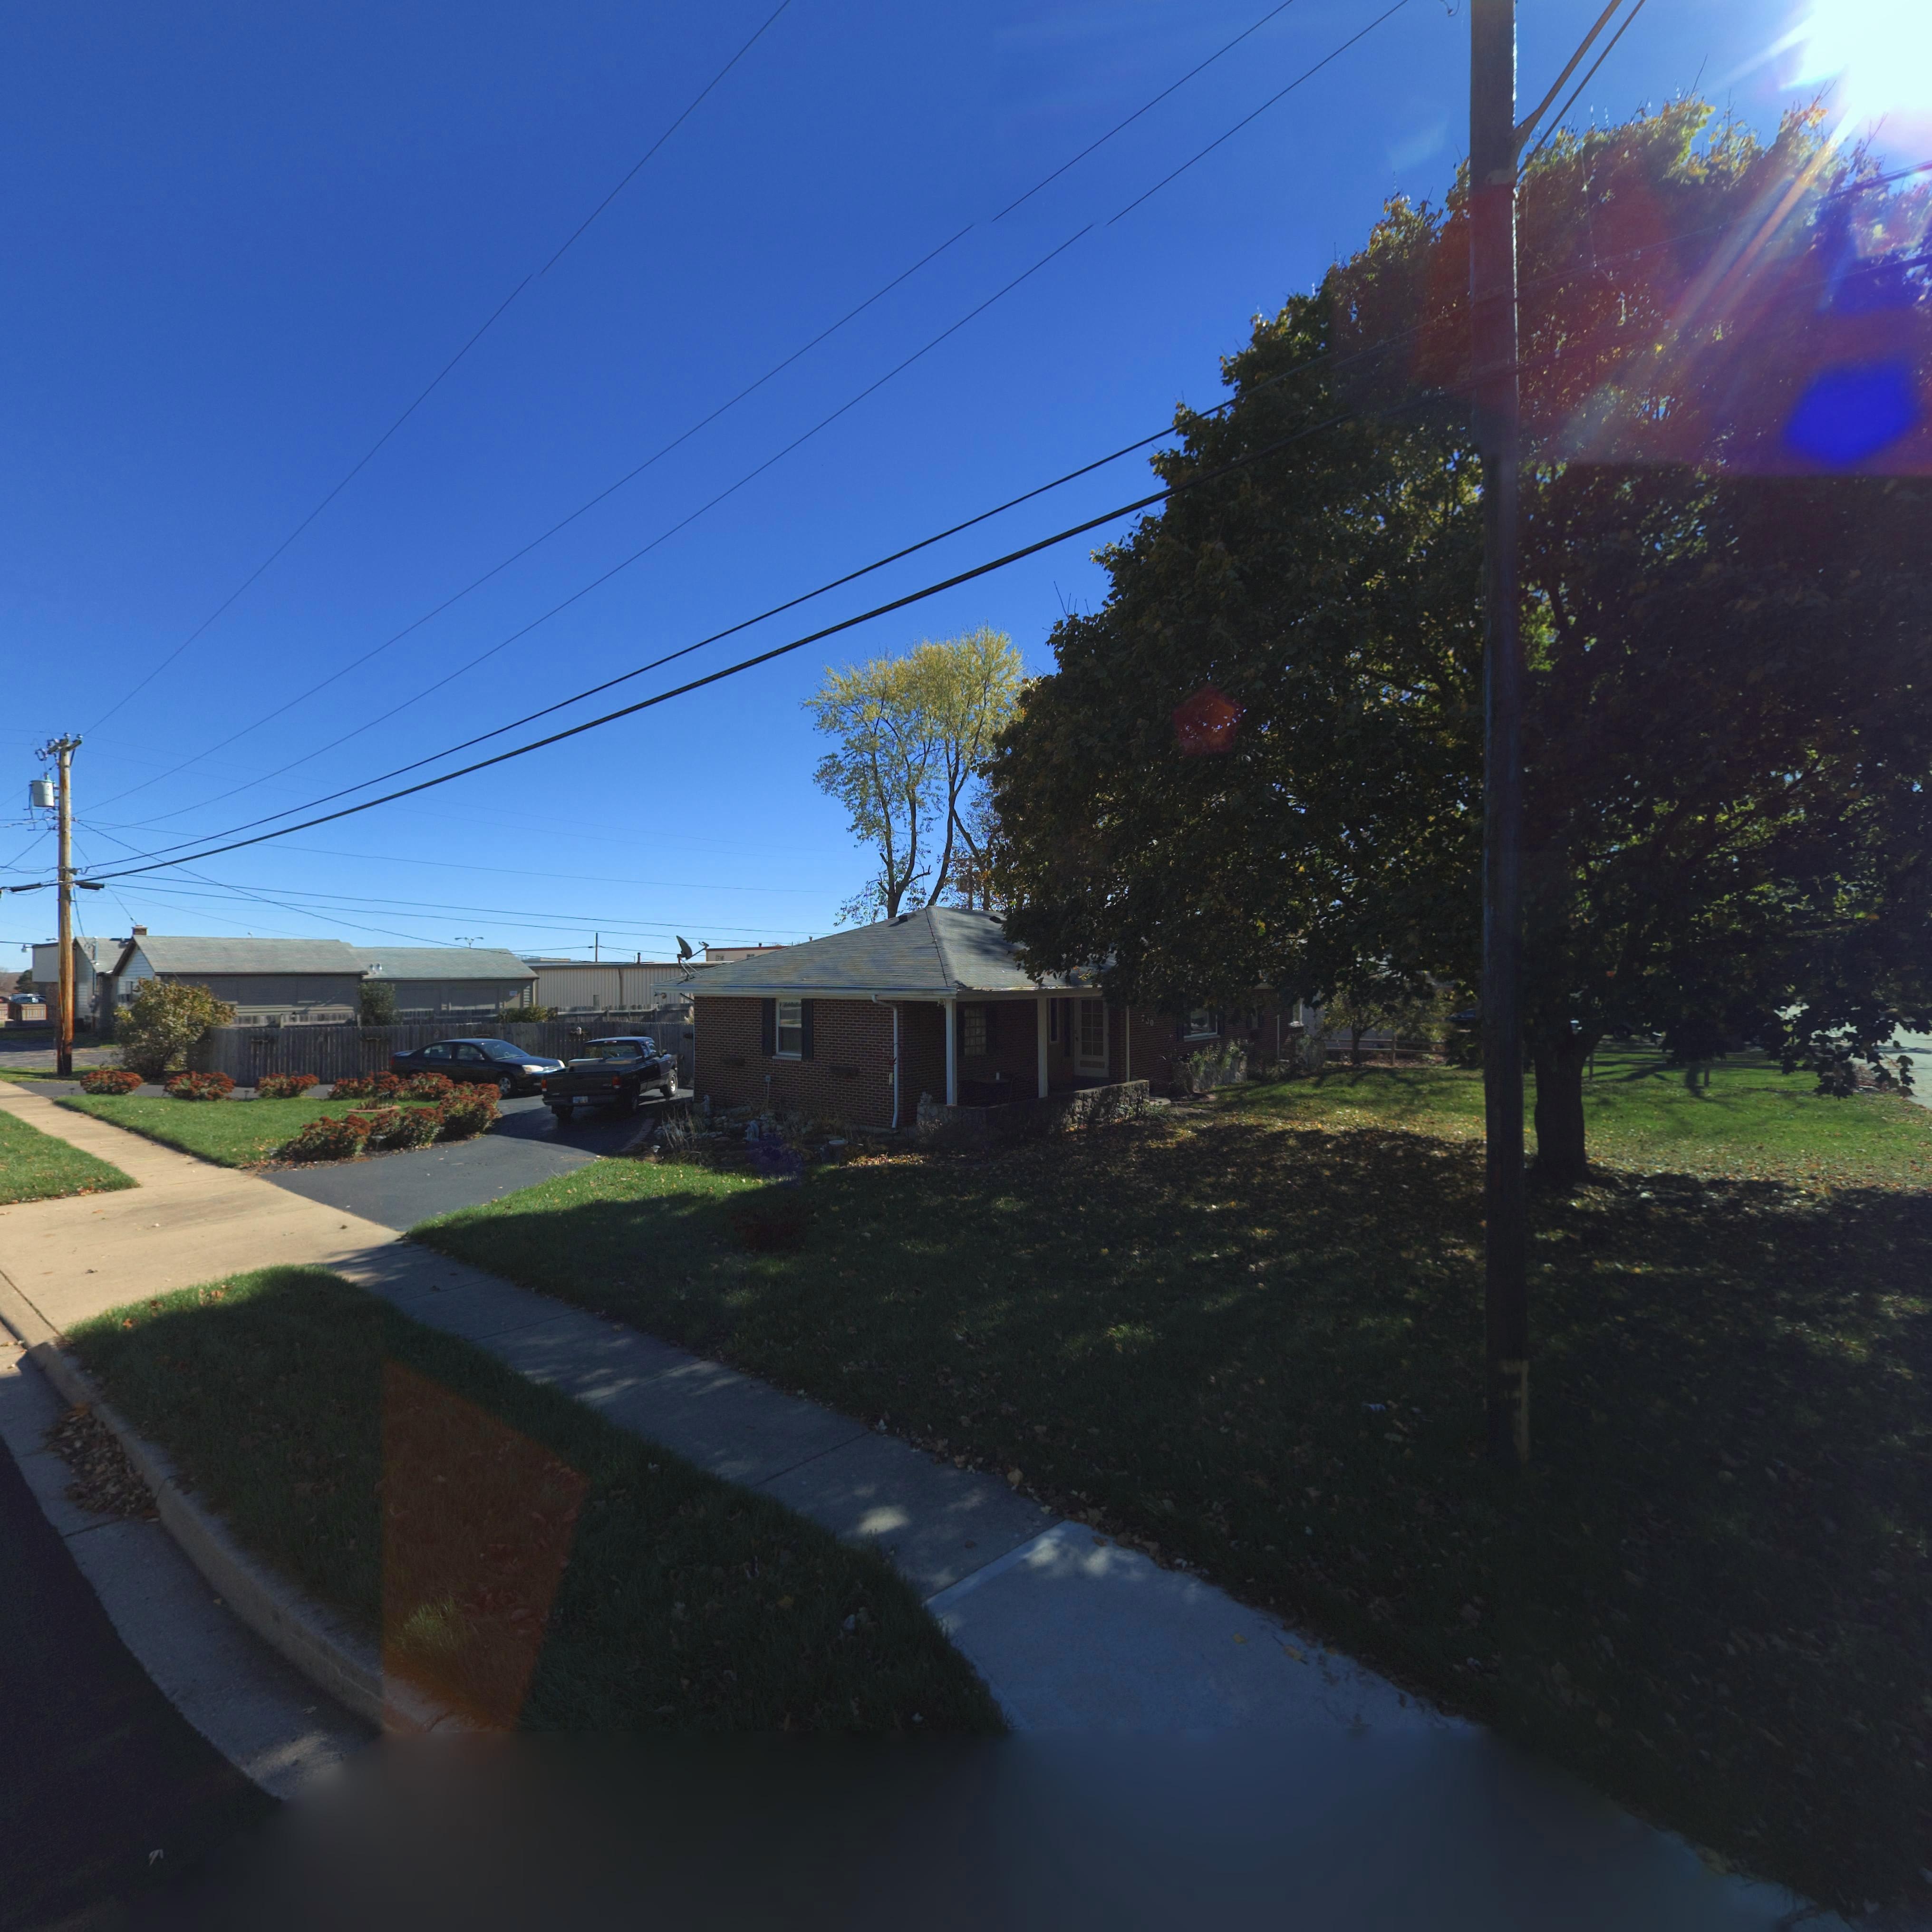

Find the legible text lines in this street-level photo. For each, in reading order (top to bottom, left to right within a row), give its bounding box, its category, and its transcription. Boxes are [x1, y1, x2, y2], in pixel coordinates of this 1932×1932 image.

[1140, 1014, 1154, 1026] StreetNumber: 7*0